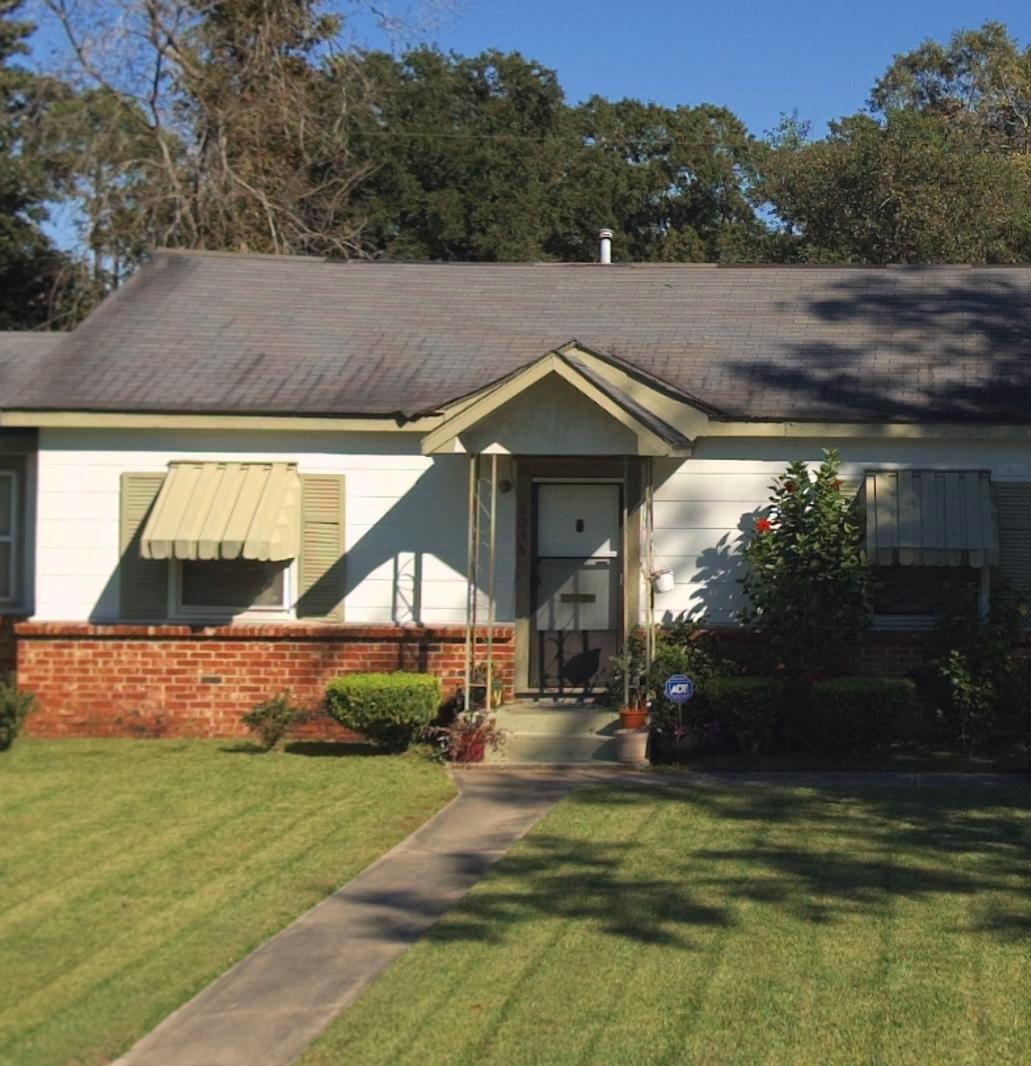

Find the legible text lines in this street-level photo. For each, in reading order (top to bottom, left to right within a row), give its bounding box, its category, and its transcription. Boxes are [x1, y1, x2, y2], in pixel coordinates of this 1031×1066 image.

[516, 501, 528, 556] StreetNumber: 2036
[669, 682, 690, 694] None: ADT